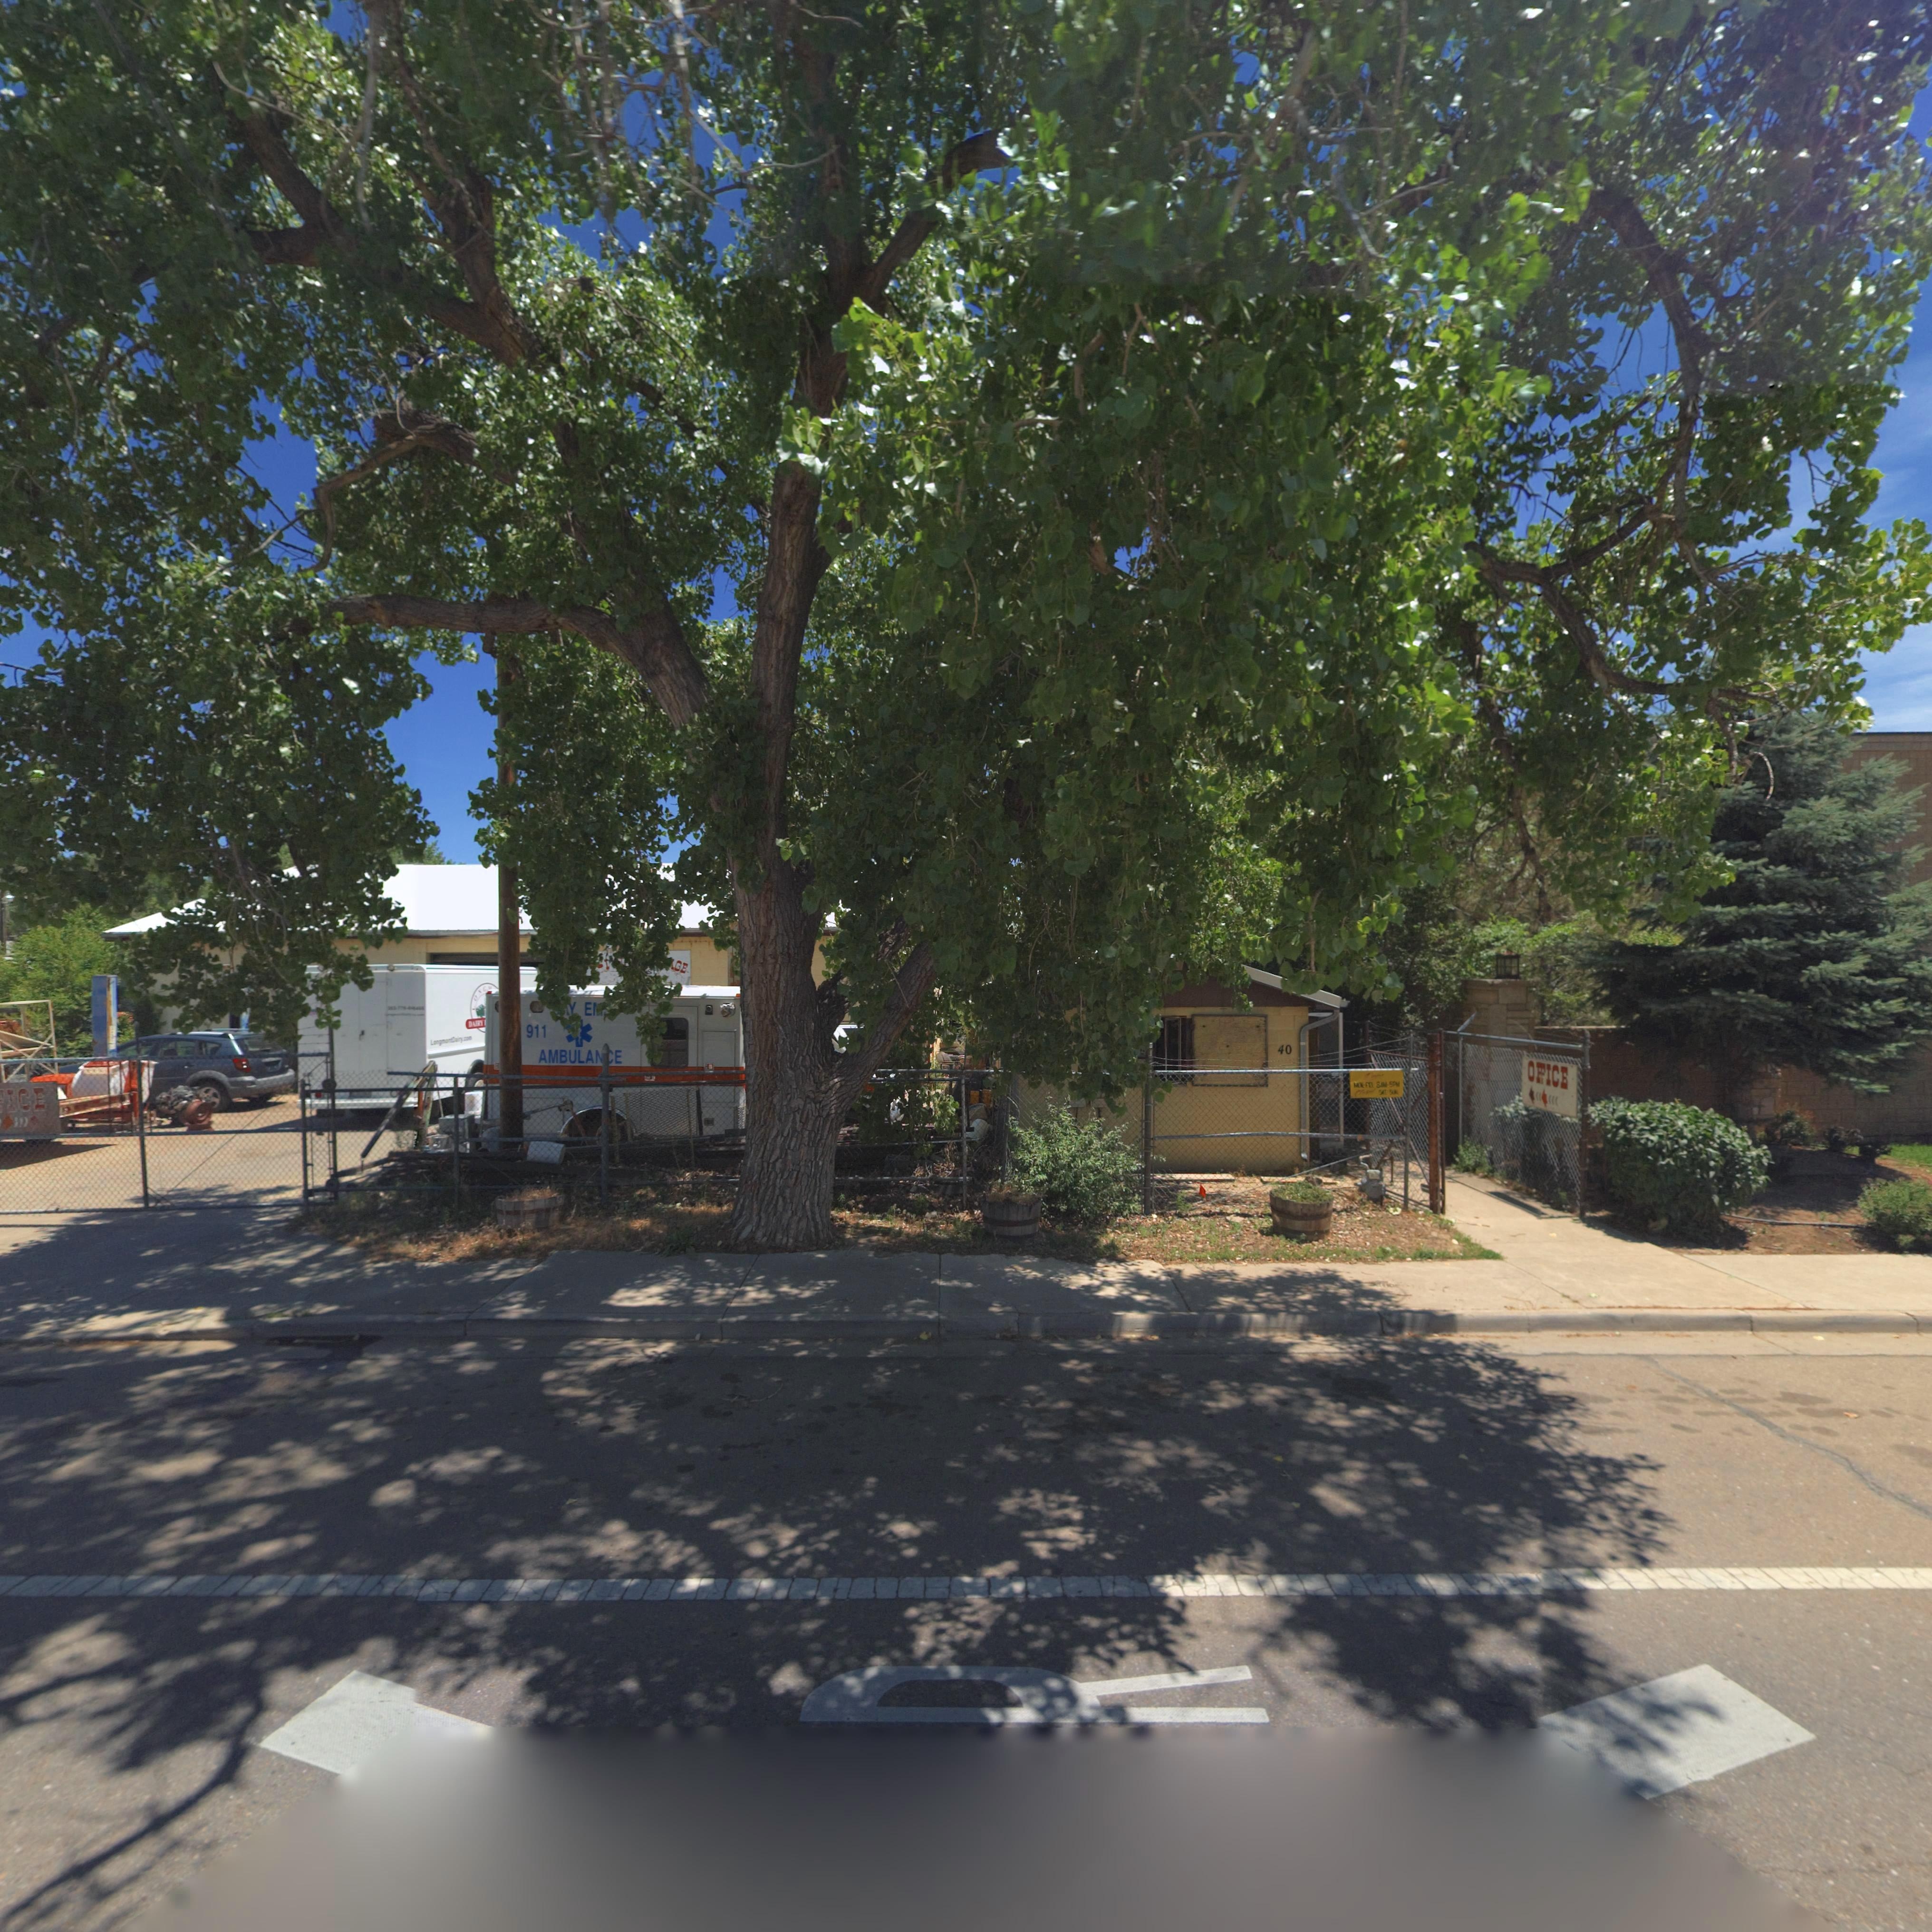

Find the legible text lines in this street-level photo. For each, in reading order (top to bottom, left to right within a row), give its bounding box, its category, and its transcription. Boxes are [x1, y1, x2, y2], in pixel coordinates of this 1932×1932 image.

[1277, 1044, 1292, 1054] StreetNumber: 40